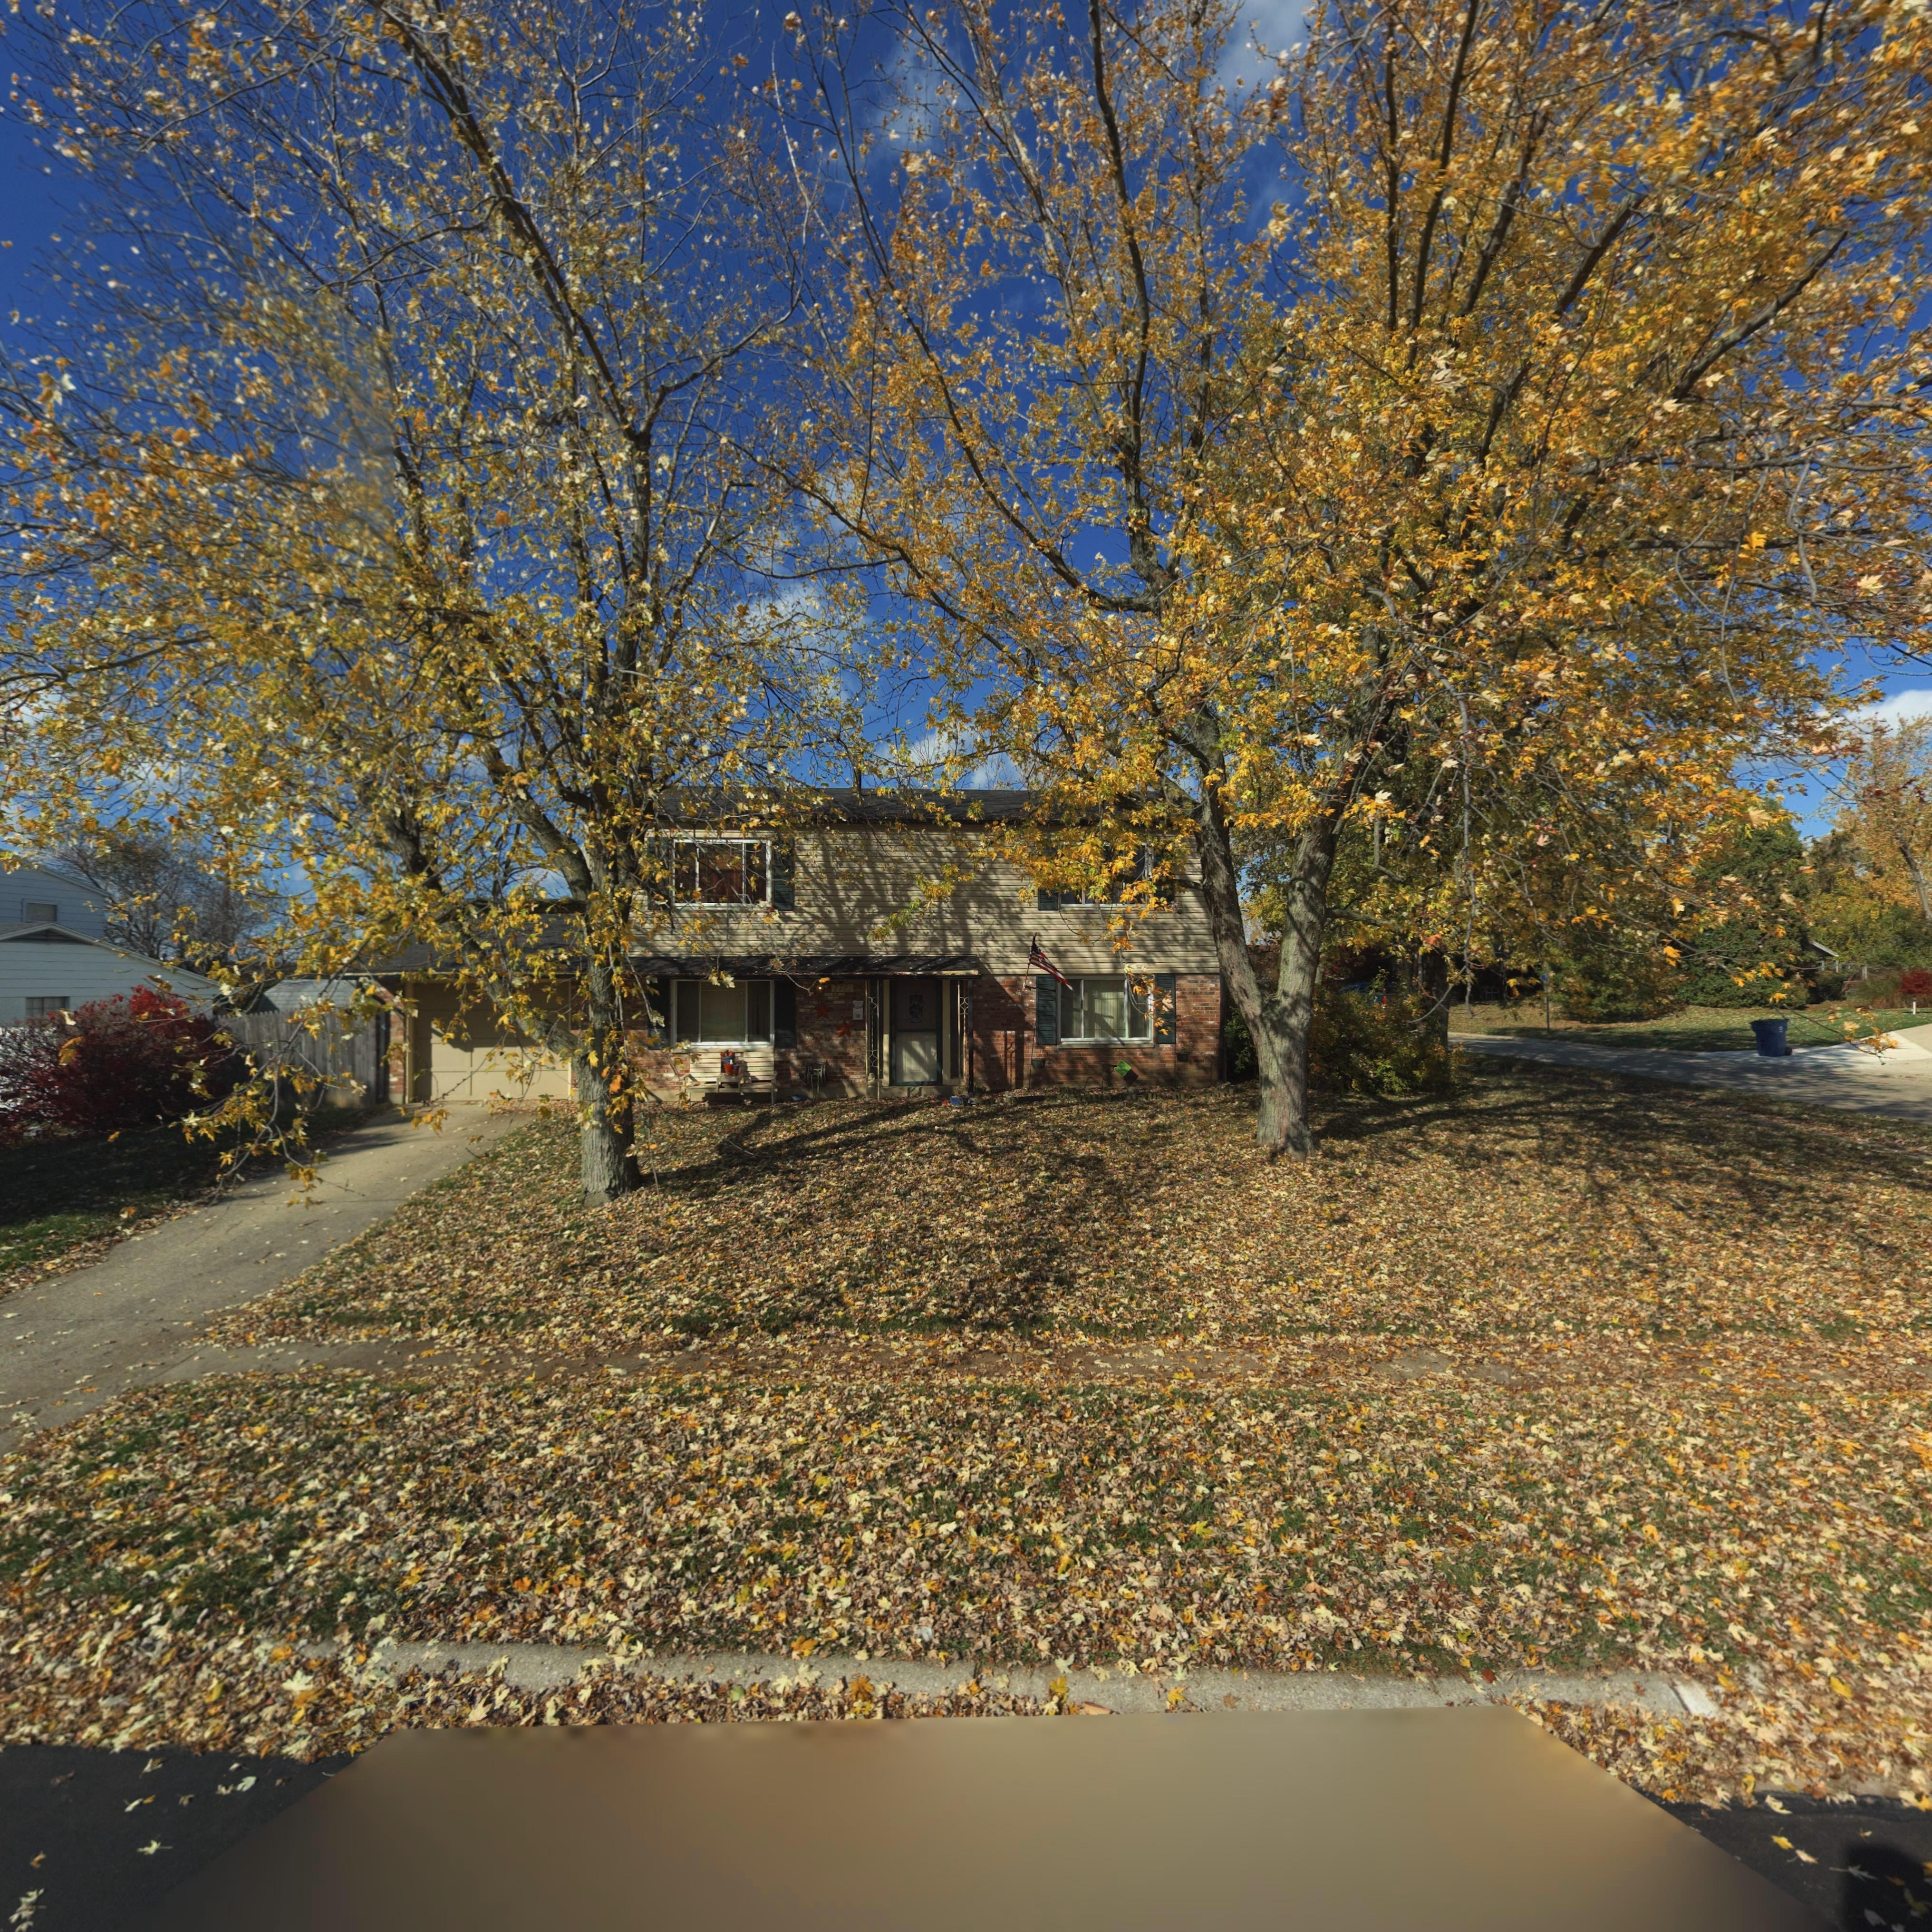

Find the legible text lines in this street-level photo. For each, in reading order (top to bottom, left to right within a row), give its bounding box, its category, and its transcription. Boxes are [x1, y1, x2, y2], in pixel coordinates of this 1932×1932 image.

[832, 984, 852, 992] StreetNumber: 7781